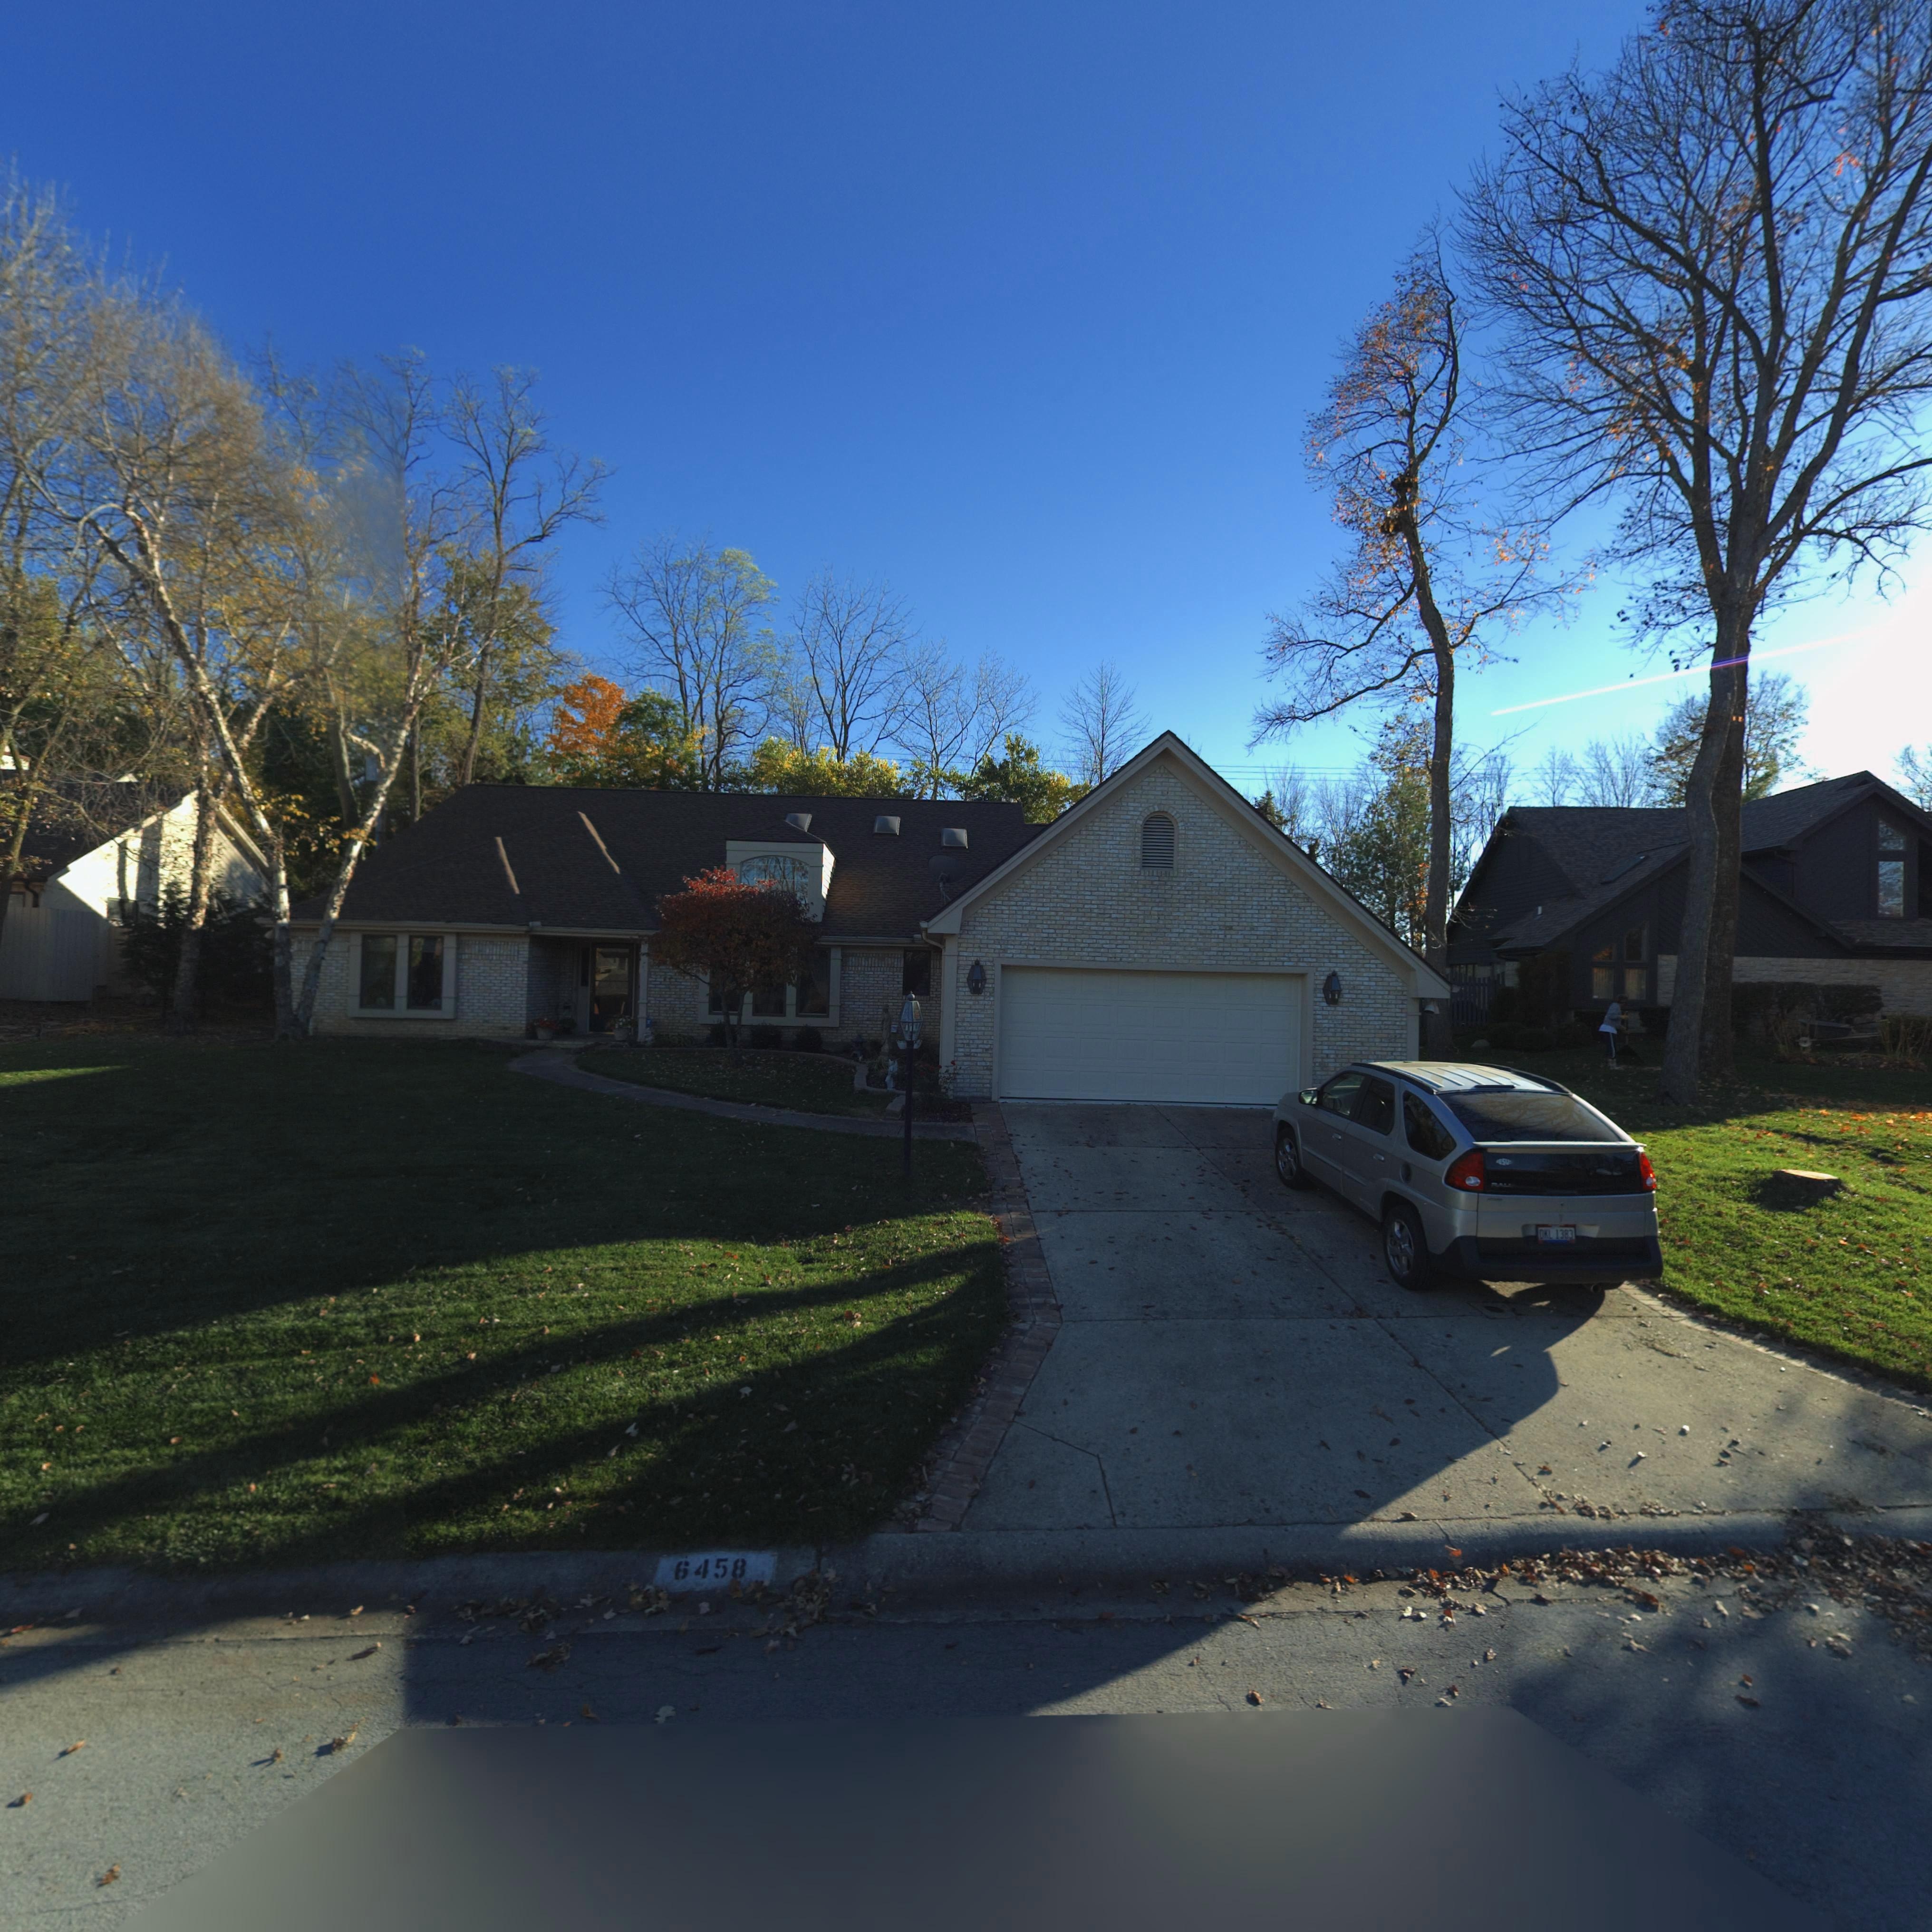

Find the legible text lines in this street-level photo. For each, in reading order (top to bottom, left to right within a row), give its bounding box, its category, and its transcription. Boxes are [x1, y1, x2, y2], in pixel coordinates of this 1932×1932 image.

[672, 1555, 750, 1584] StreetNumber: 6458